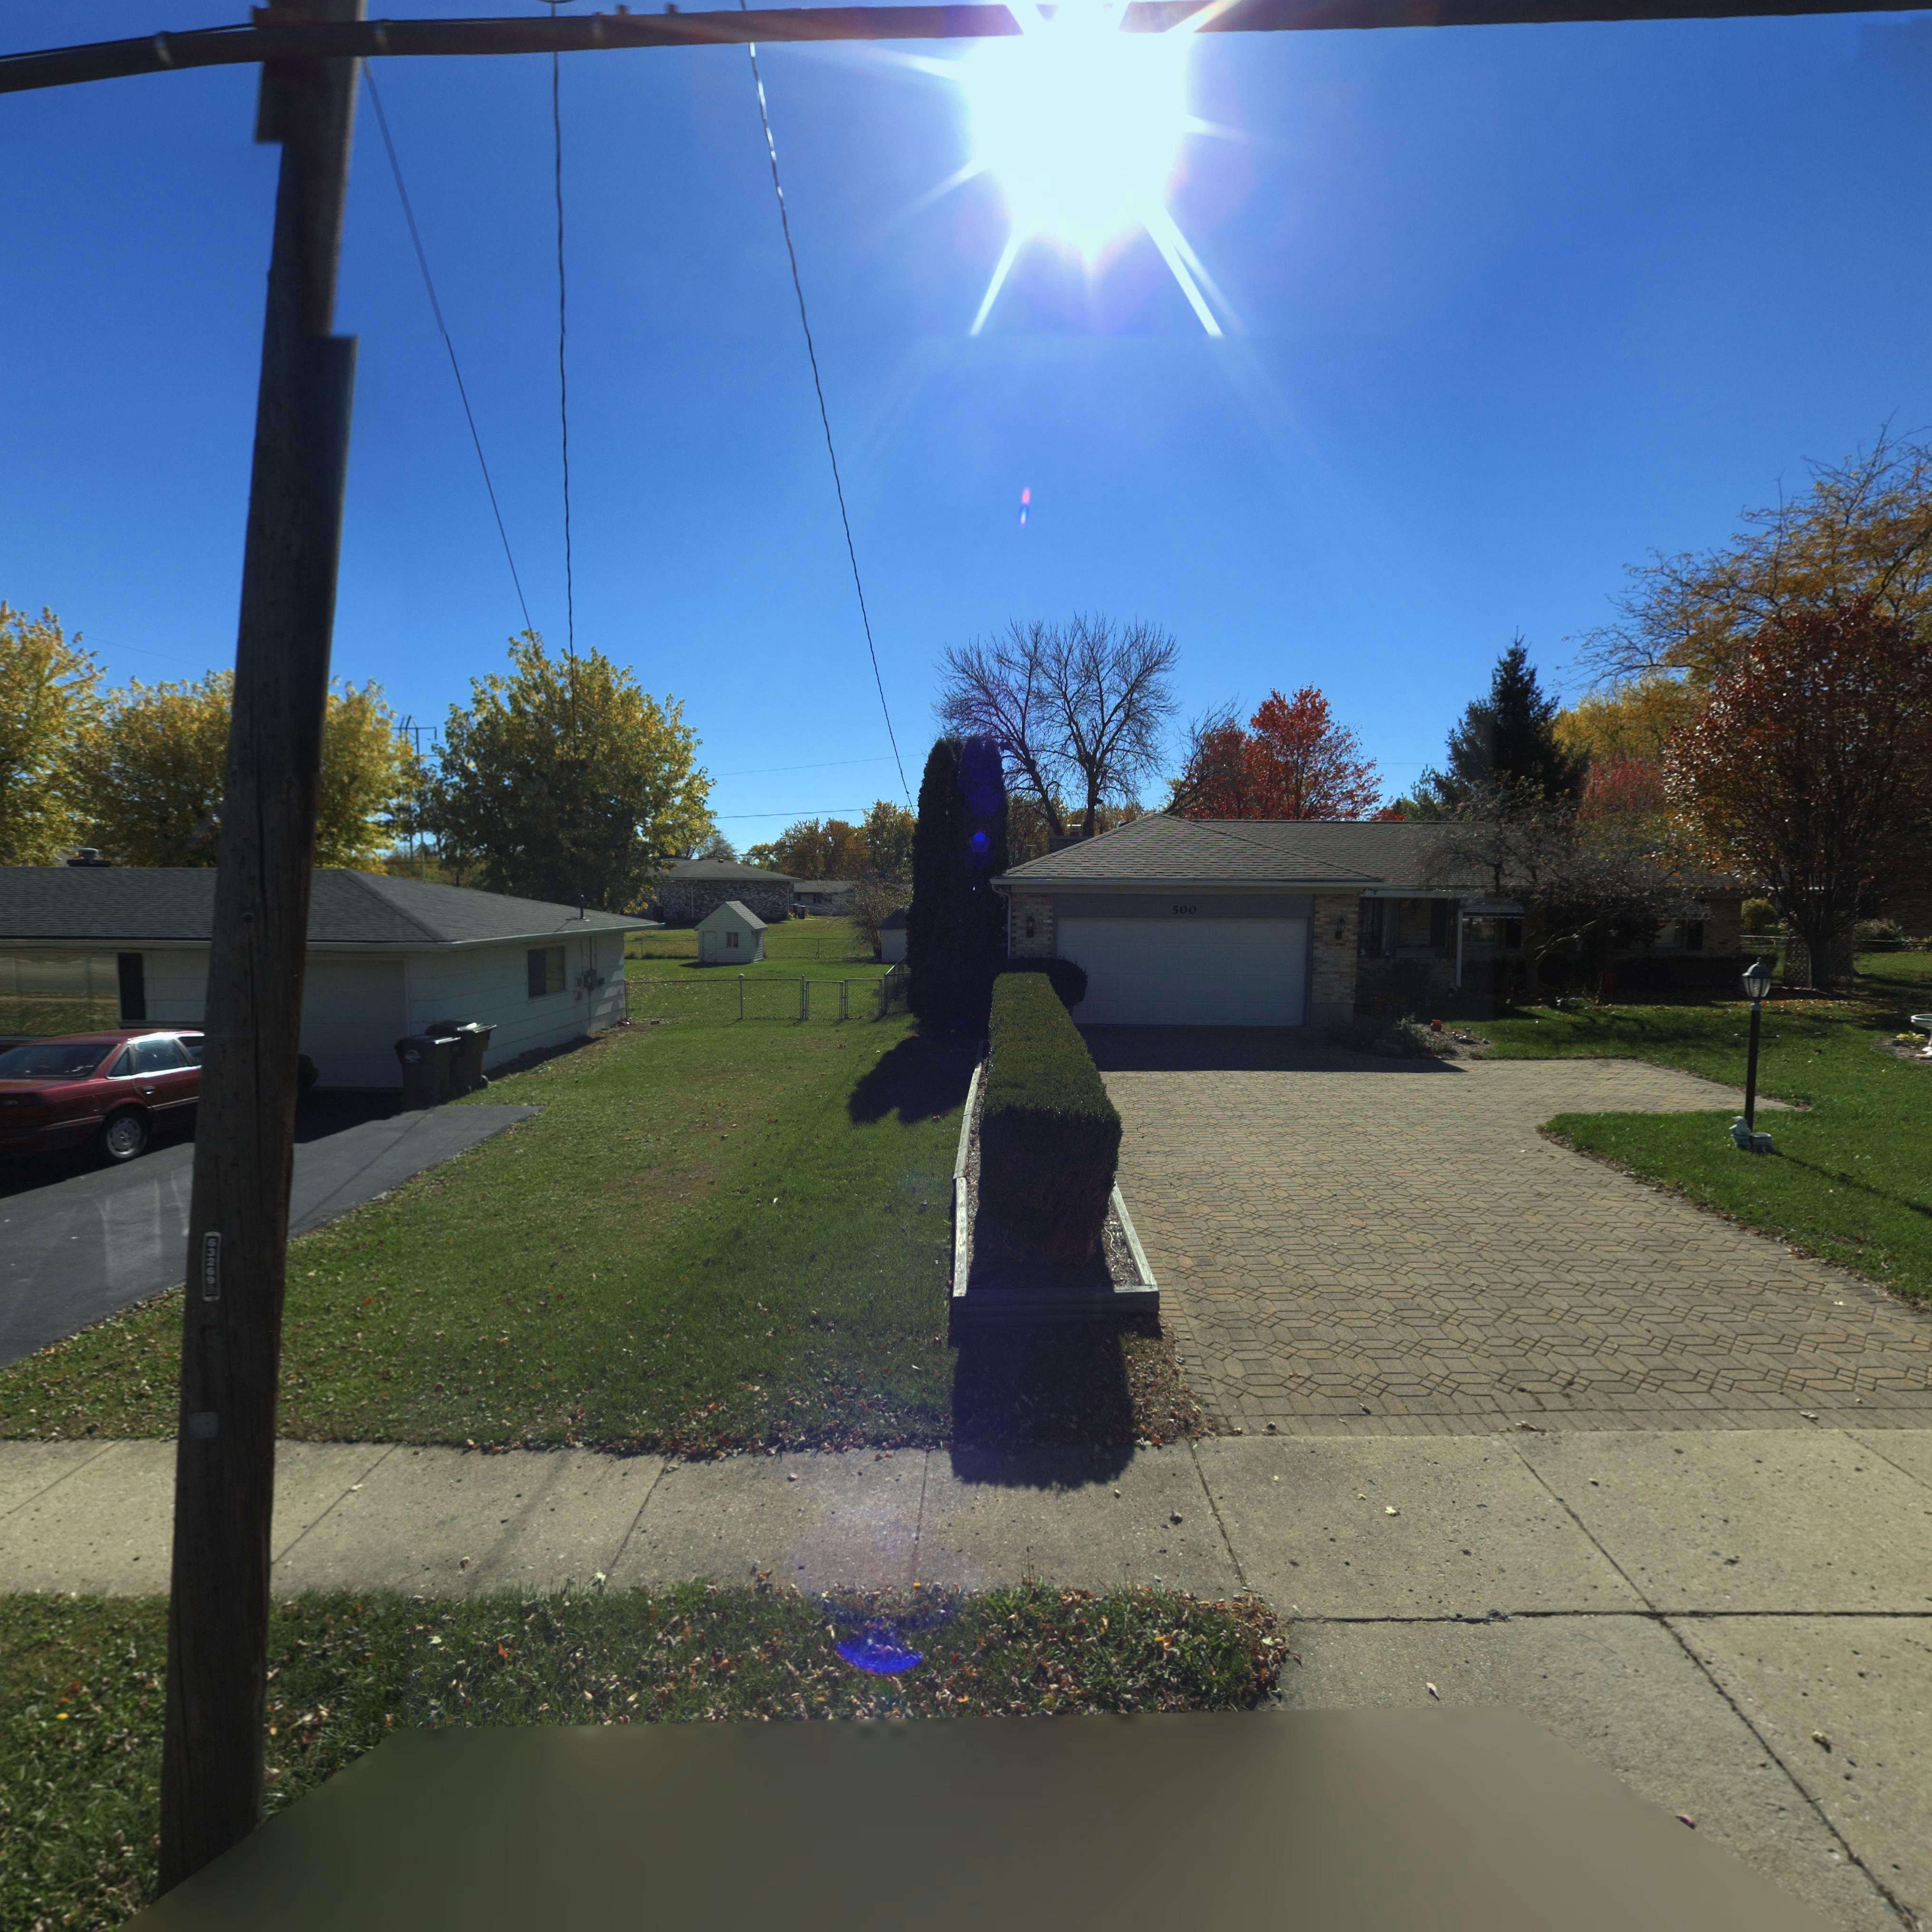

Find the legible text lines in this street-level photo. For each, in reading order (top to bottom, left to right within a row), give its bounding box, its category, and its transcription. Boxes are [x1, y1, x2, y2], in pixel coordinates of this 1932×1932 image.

[1171, 904, 1198, 916] StreetNumber: 500